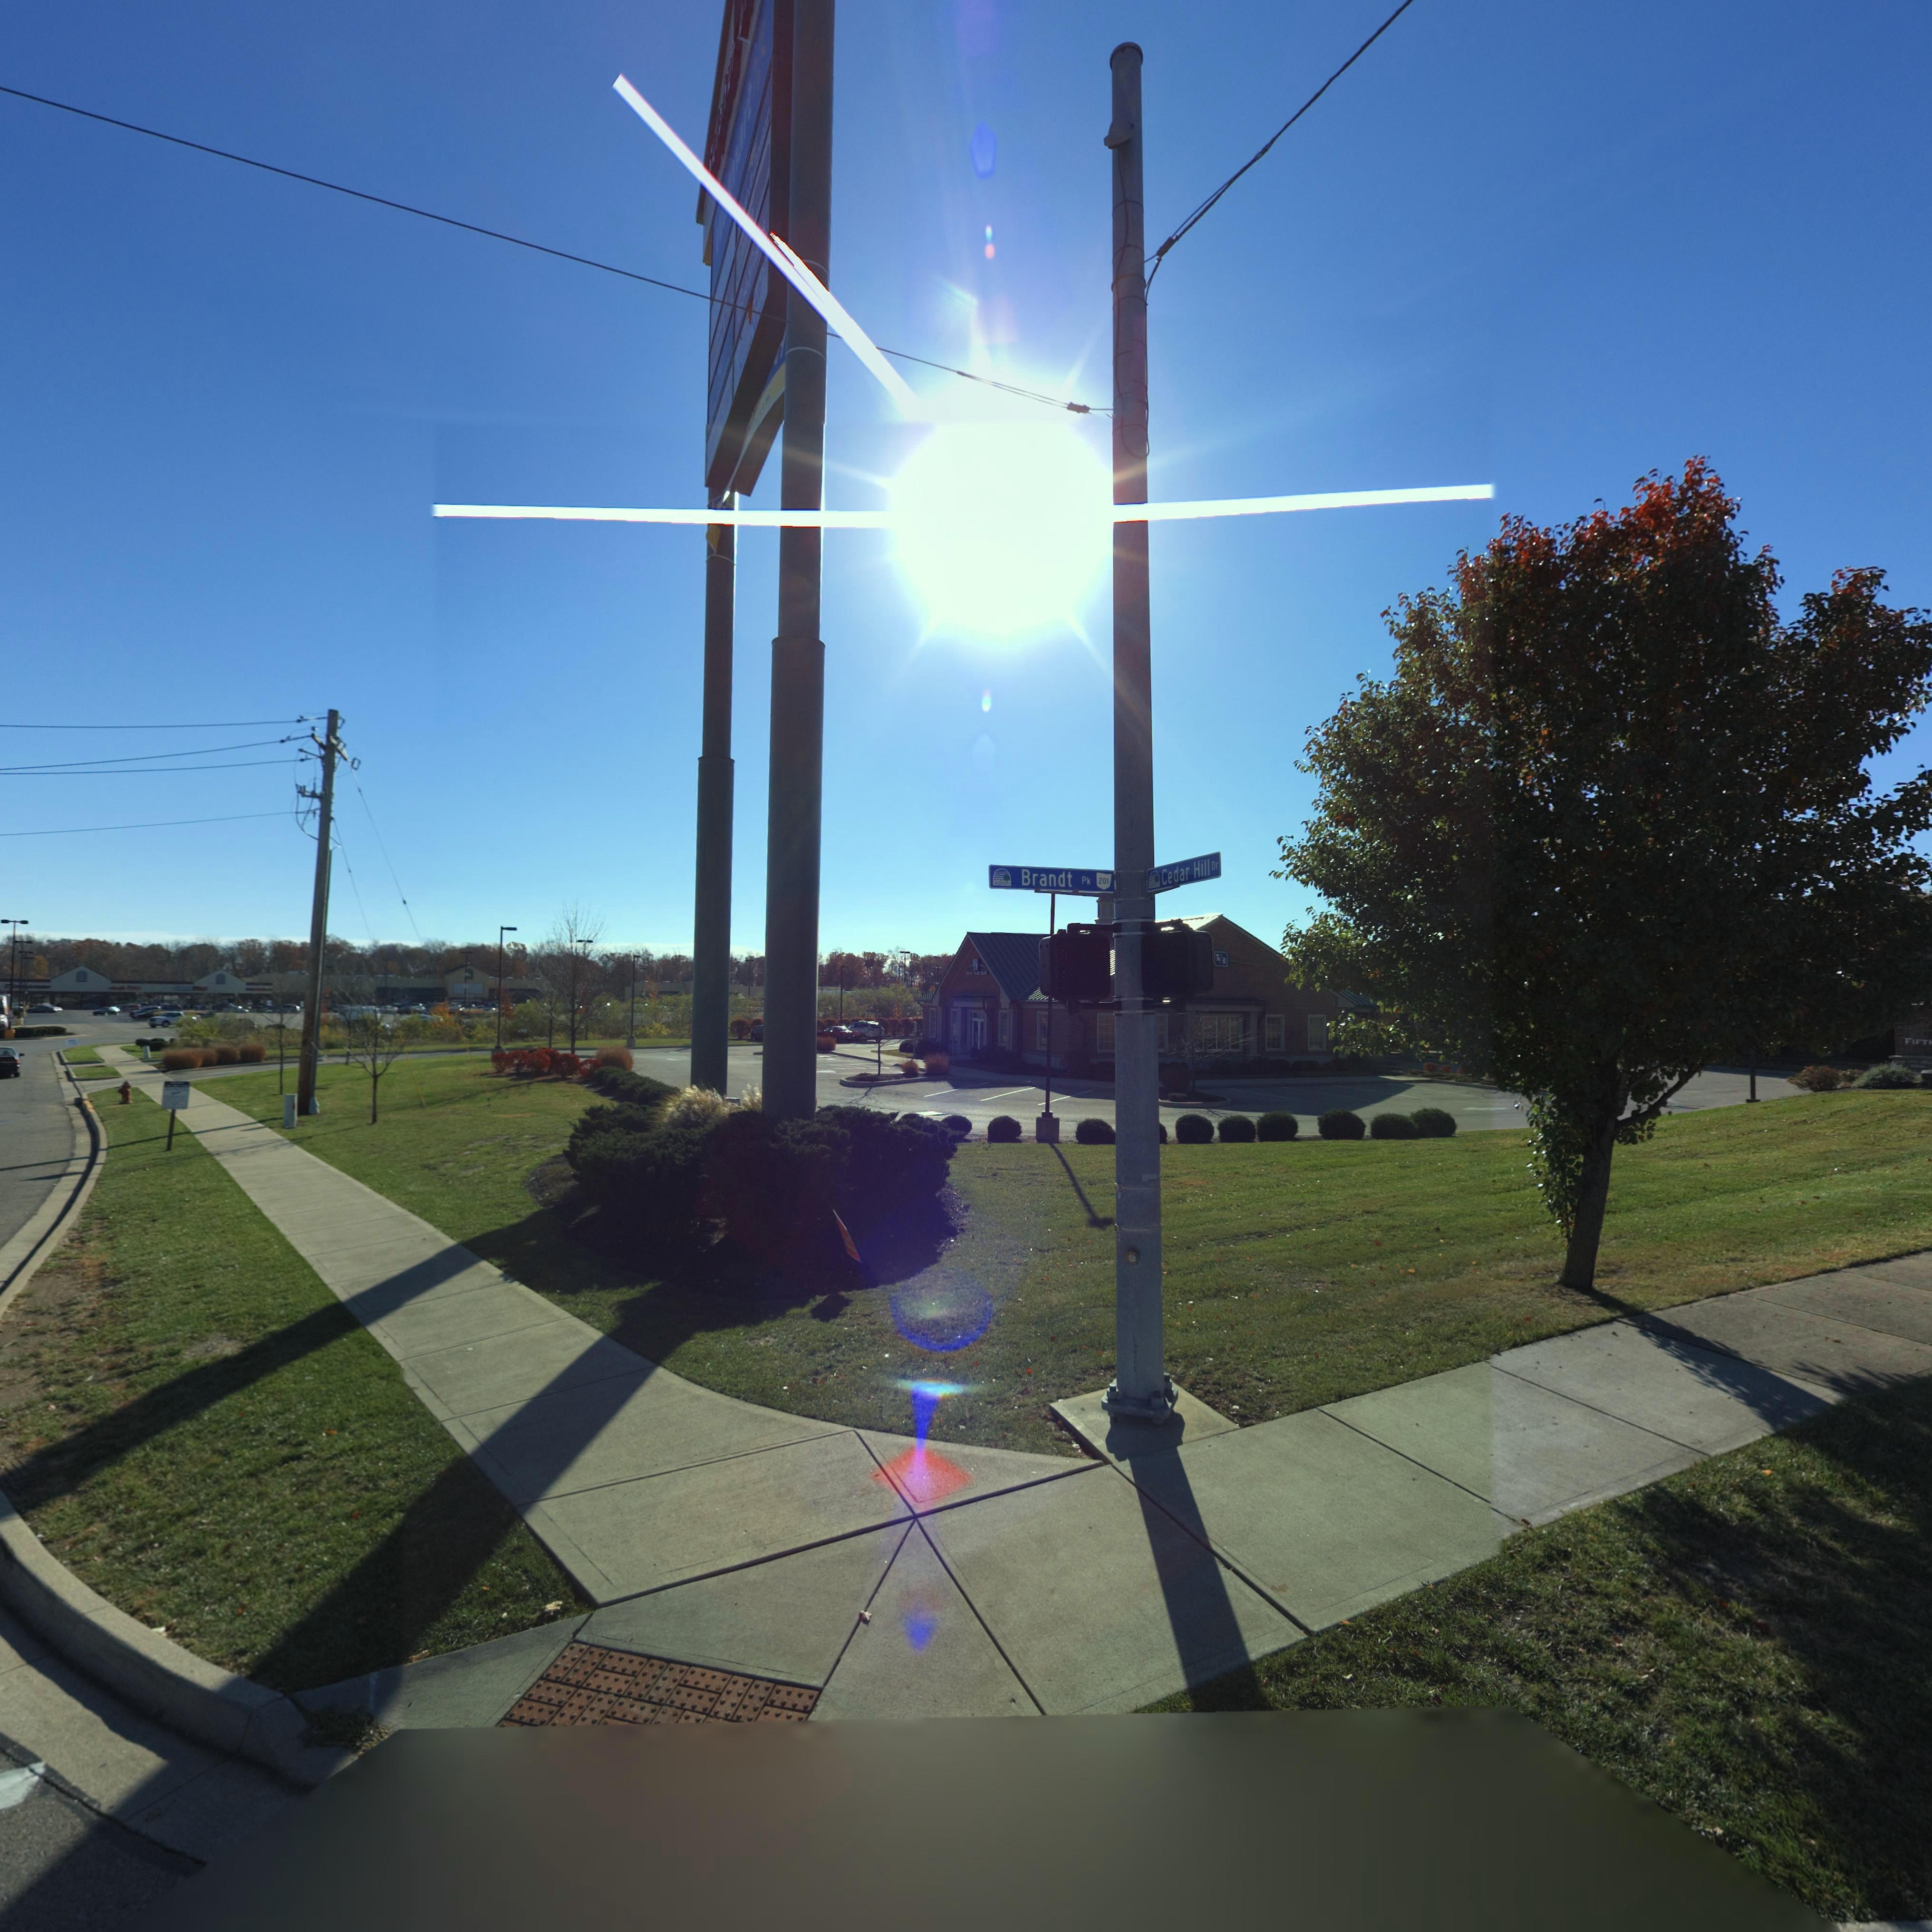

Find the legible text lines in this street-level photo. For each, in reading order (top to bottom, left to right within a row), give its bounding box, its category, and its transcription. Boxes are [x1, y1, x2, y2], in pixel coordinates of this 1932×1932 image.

[976, 1012, 984, 1018] StreetNumber: 7**0